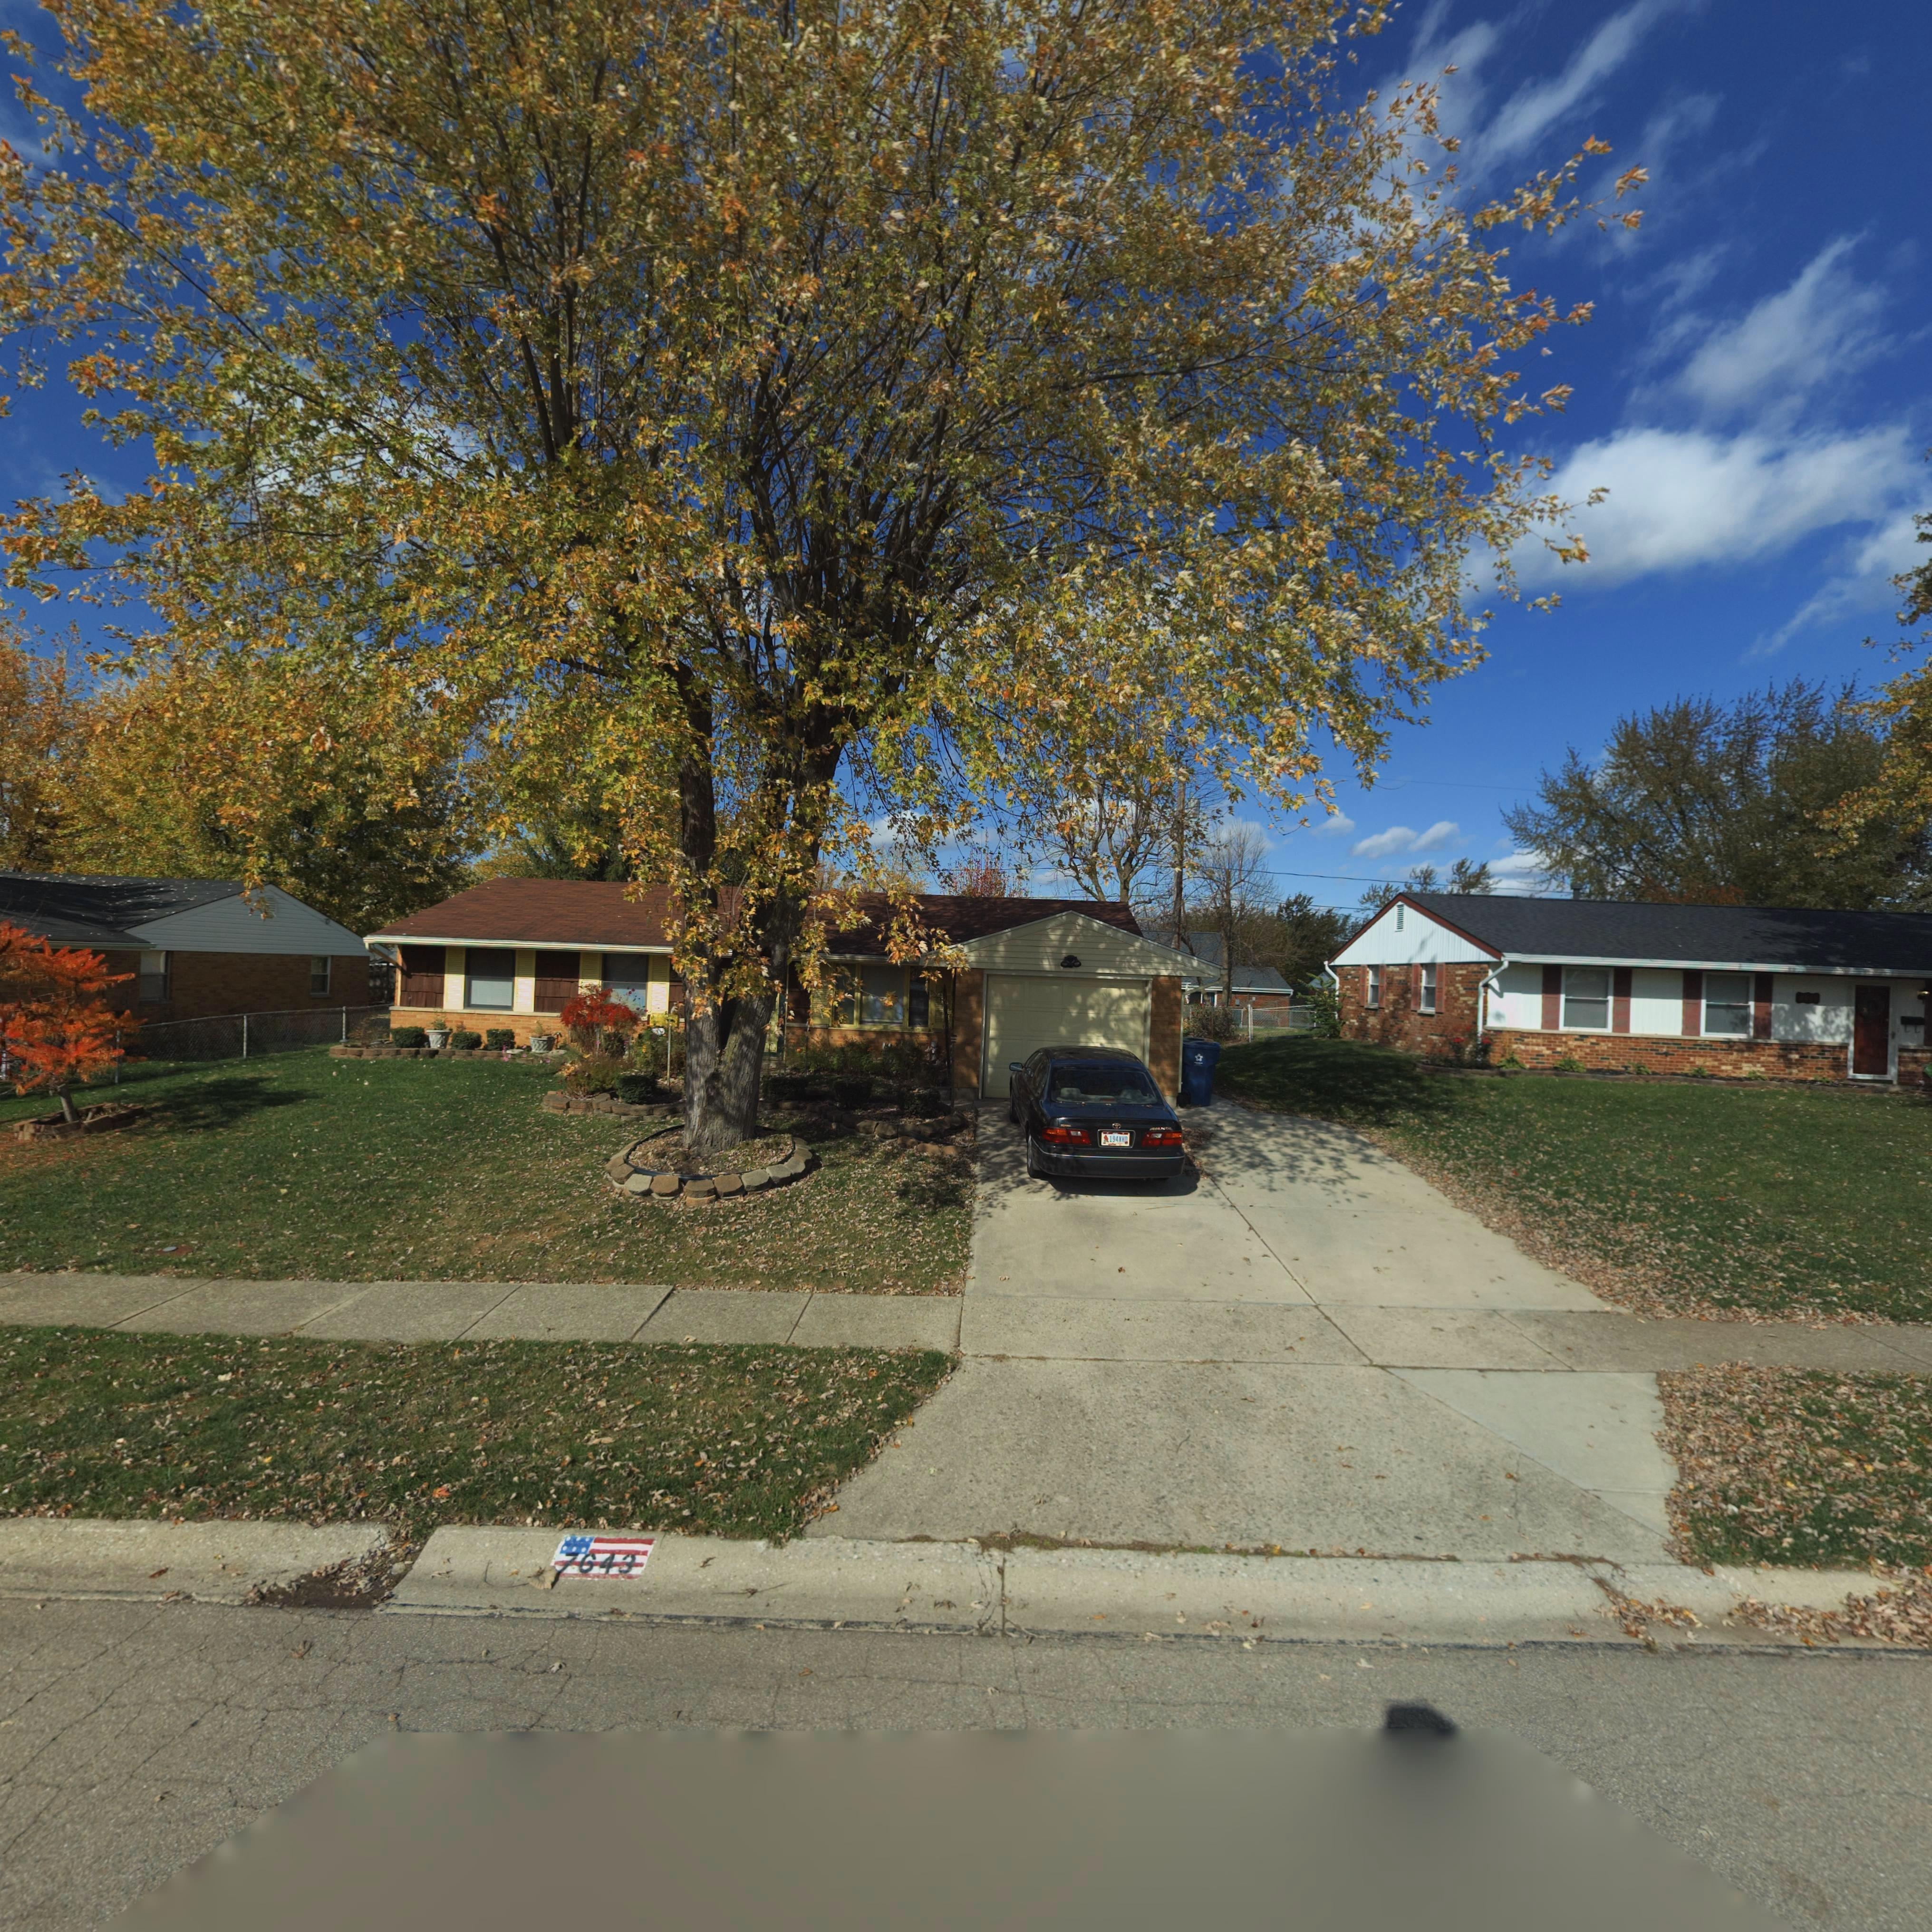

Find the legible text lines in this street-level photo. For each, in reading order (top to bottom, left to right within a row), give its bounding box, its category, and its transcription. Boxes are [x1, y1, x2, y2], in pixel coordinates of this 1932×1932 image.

[555, 1550, 638, 1575] StreetNumber: 7643